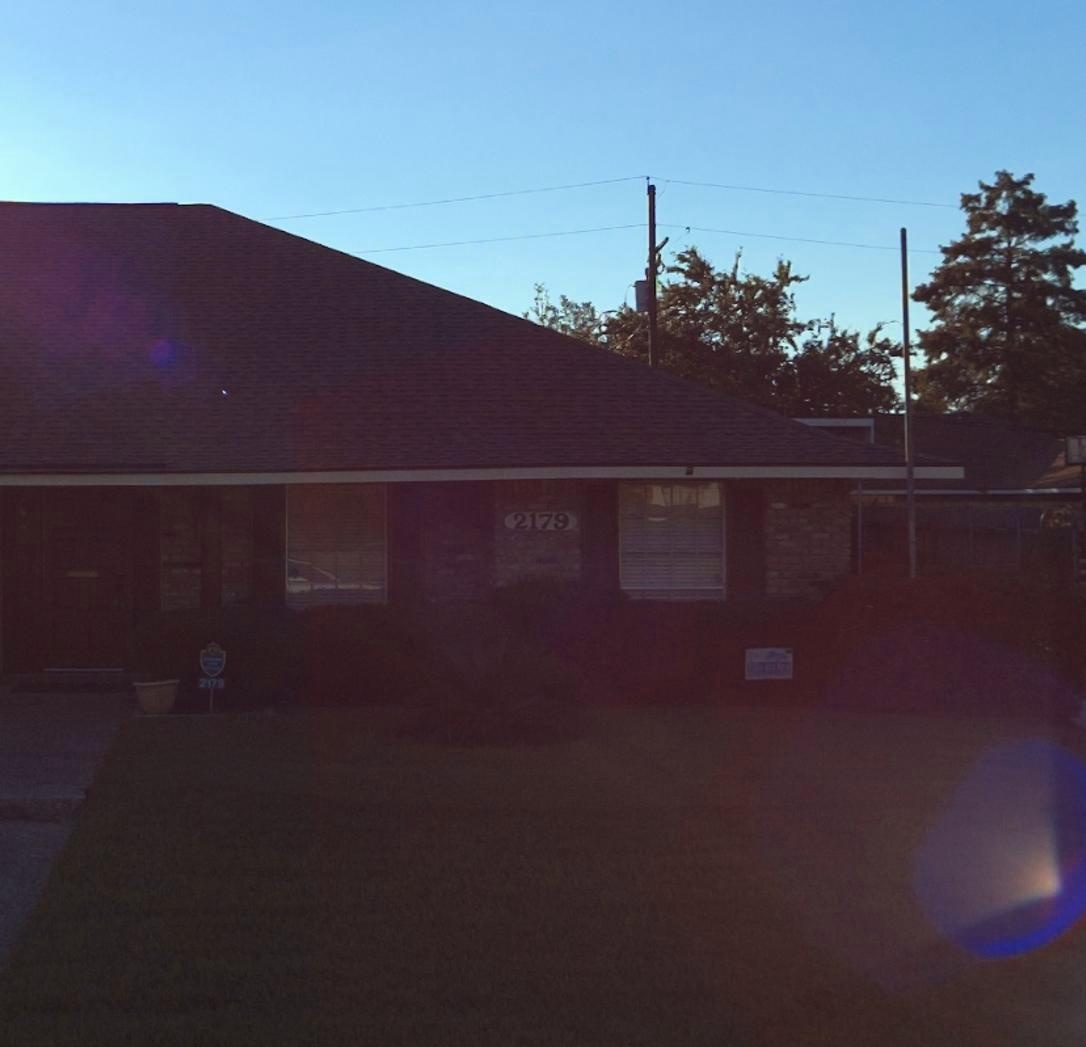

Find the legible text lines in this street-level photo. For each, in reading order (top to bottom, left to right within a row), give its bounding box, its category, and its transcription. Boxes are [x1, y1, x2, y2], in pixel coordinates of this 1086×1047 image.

[512, 511, 571, 531] StreetNumber: 2179
[199, 677, 224, 689] StreetNumber: 2179